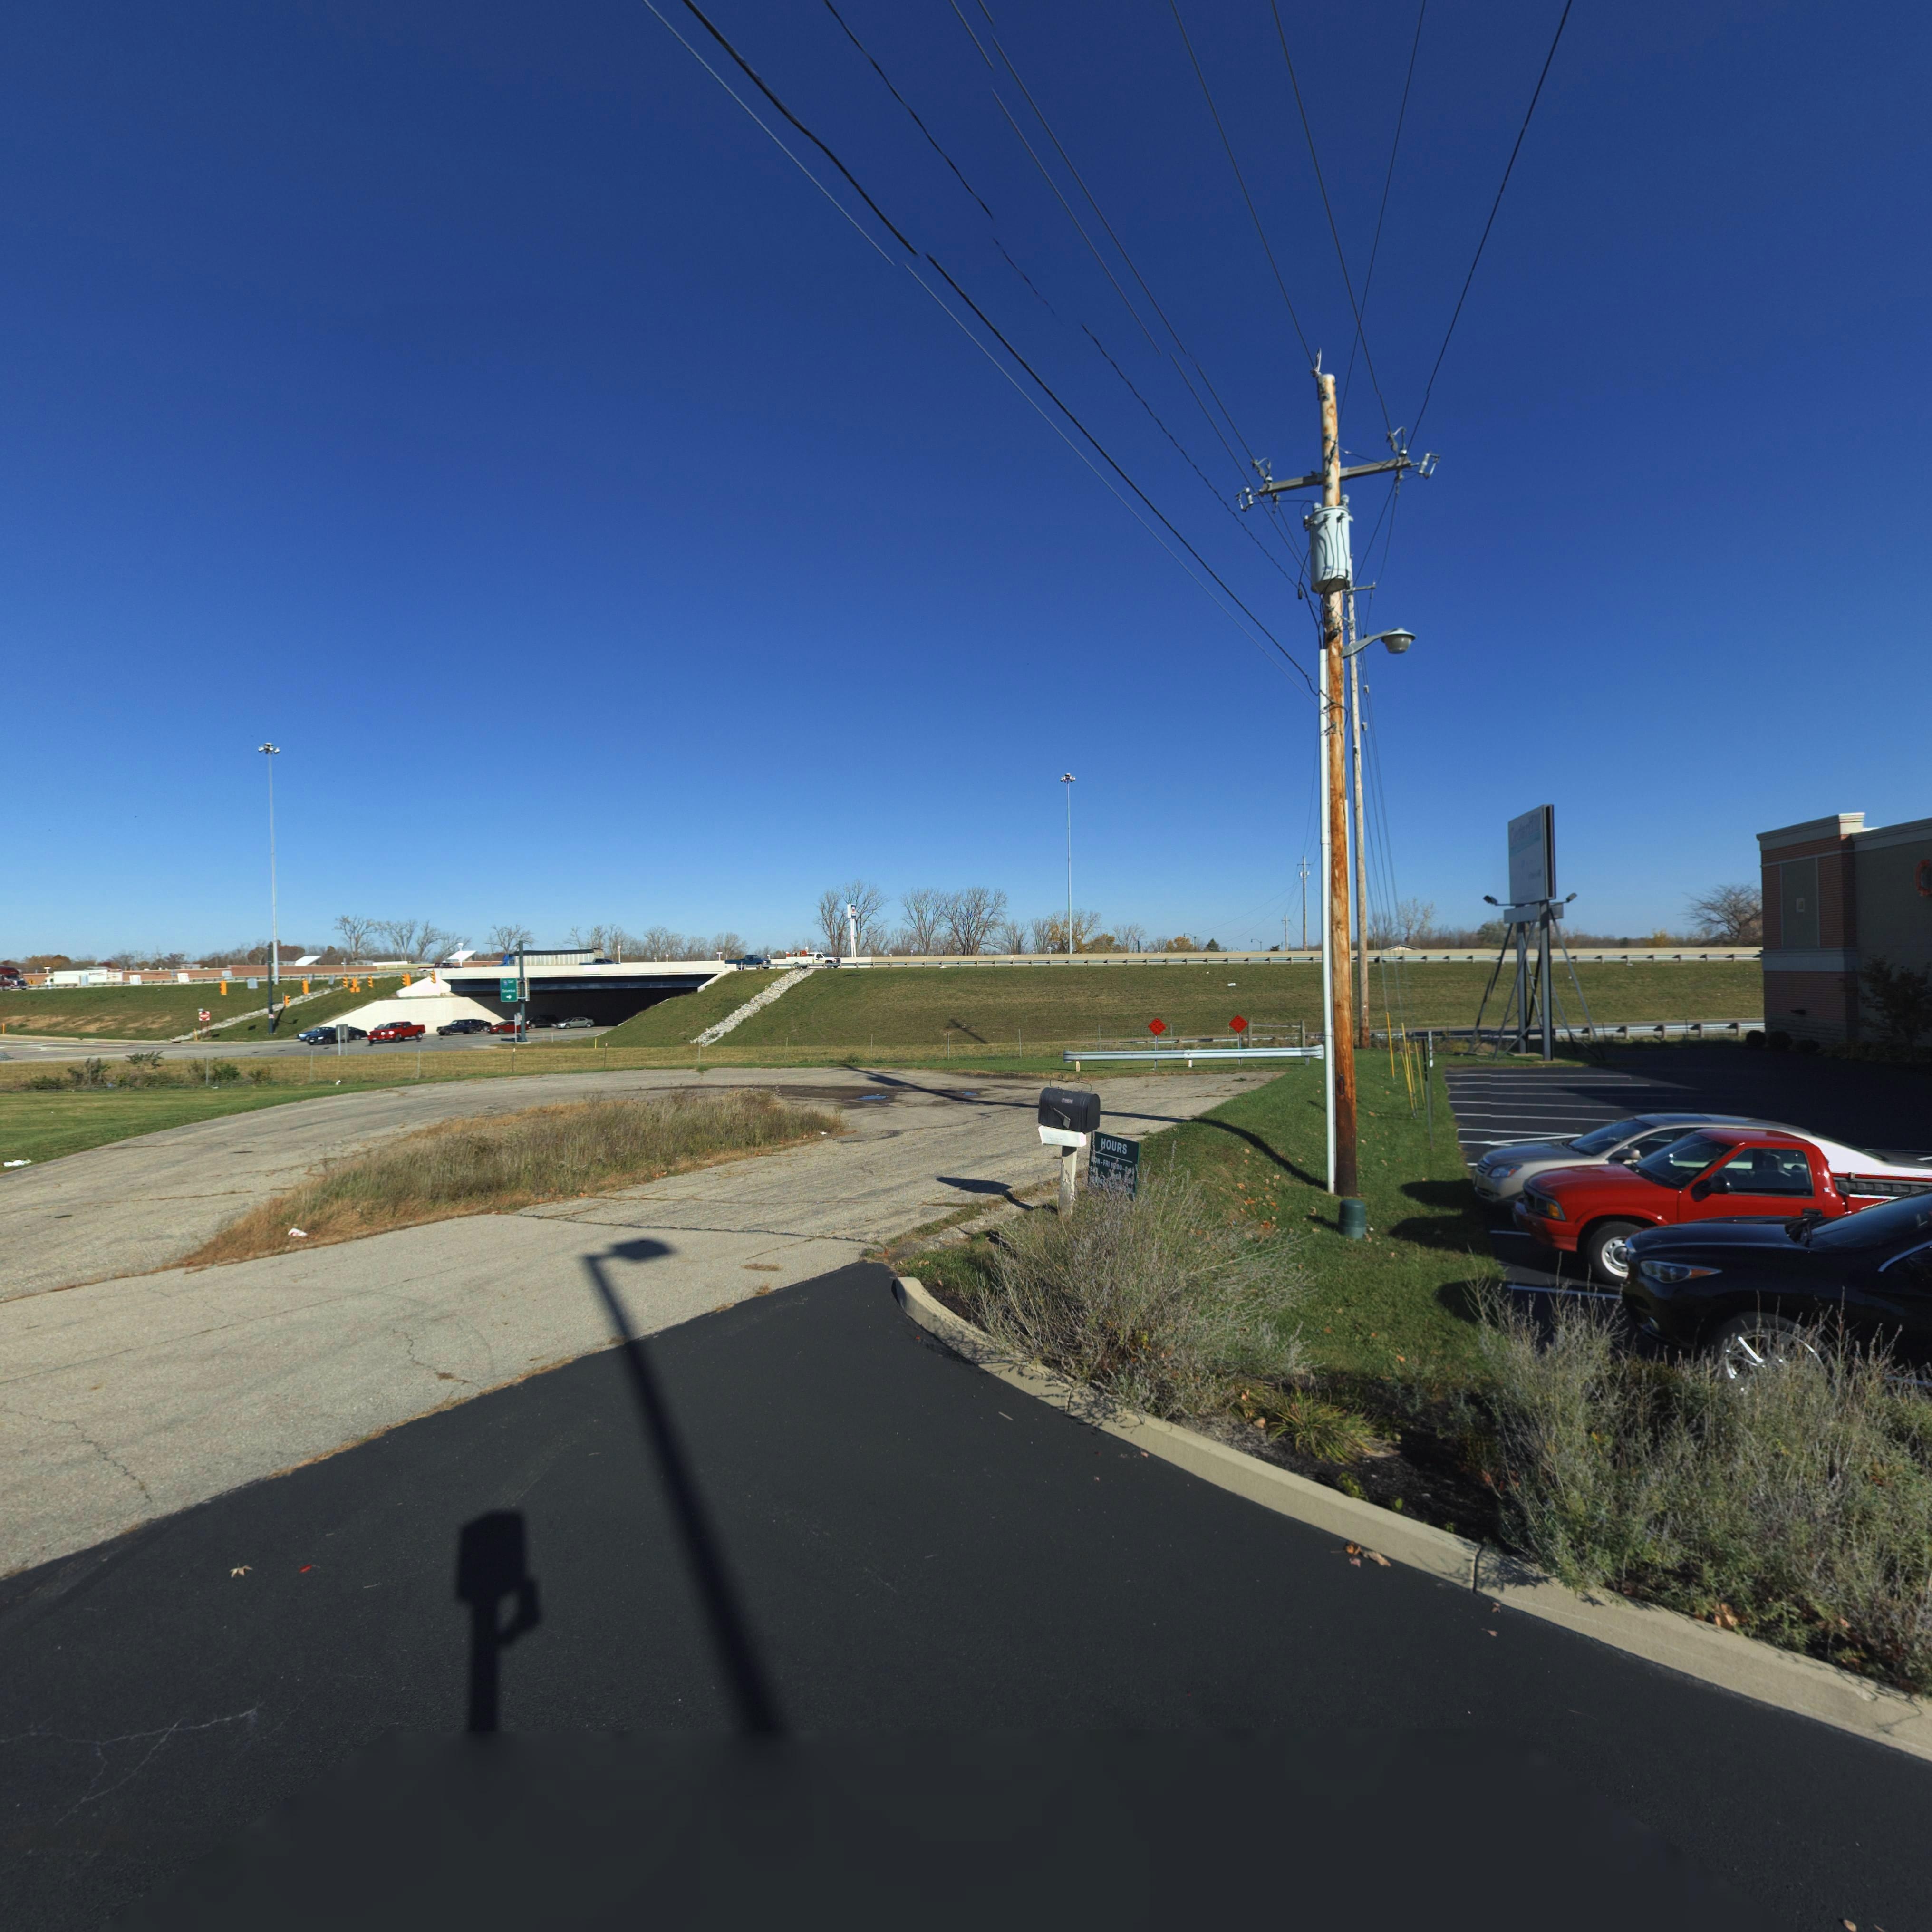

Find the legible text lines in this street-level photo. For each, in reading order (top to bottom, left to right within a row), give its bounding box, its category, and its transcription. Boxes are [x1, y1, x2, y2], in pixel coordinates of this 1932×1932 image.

[1061, 1097, 1074, 1105] StreetNumber: 79**